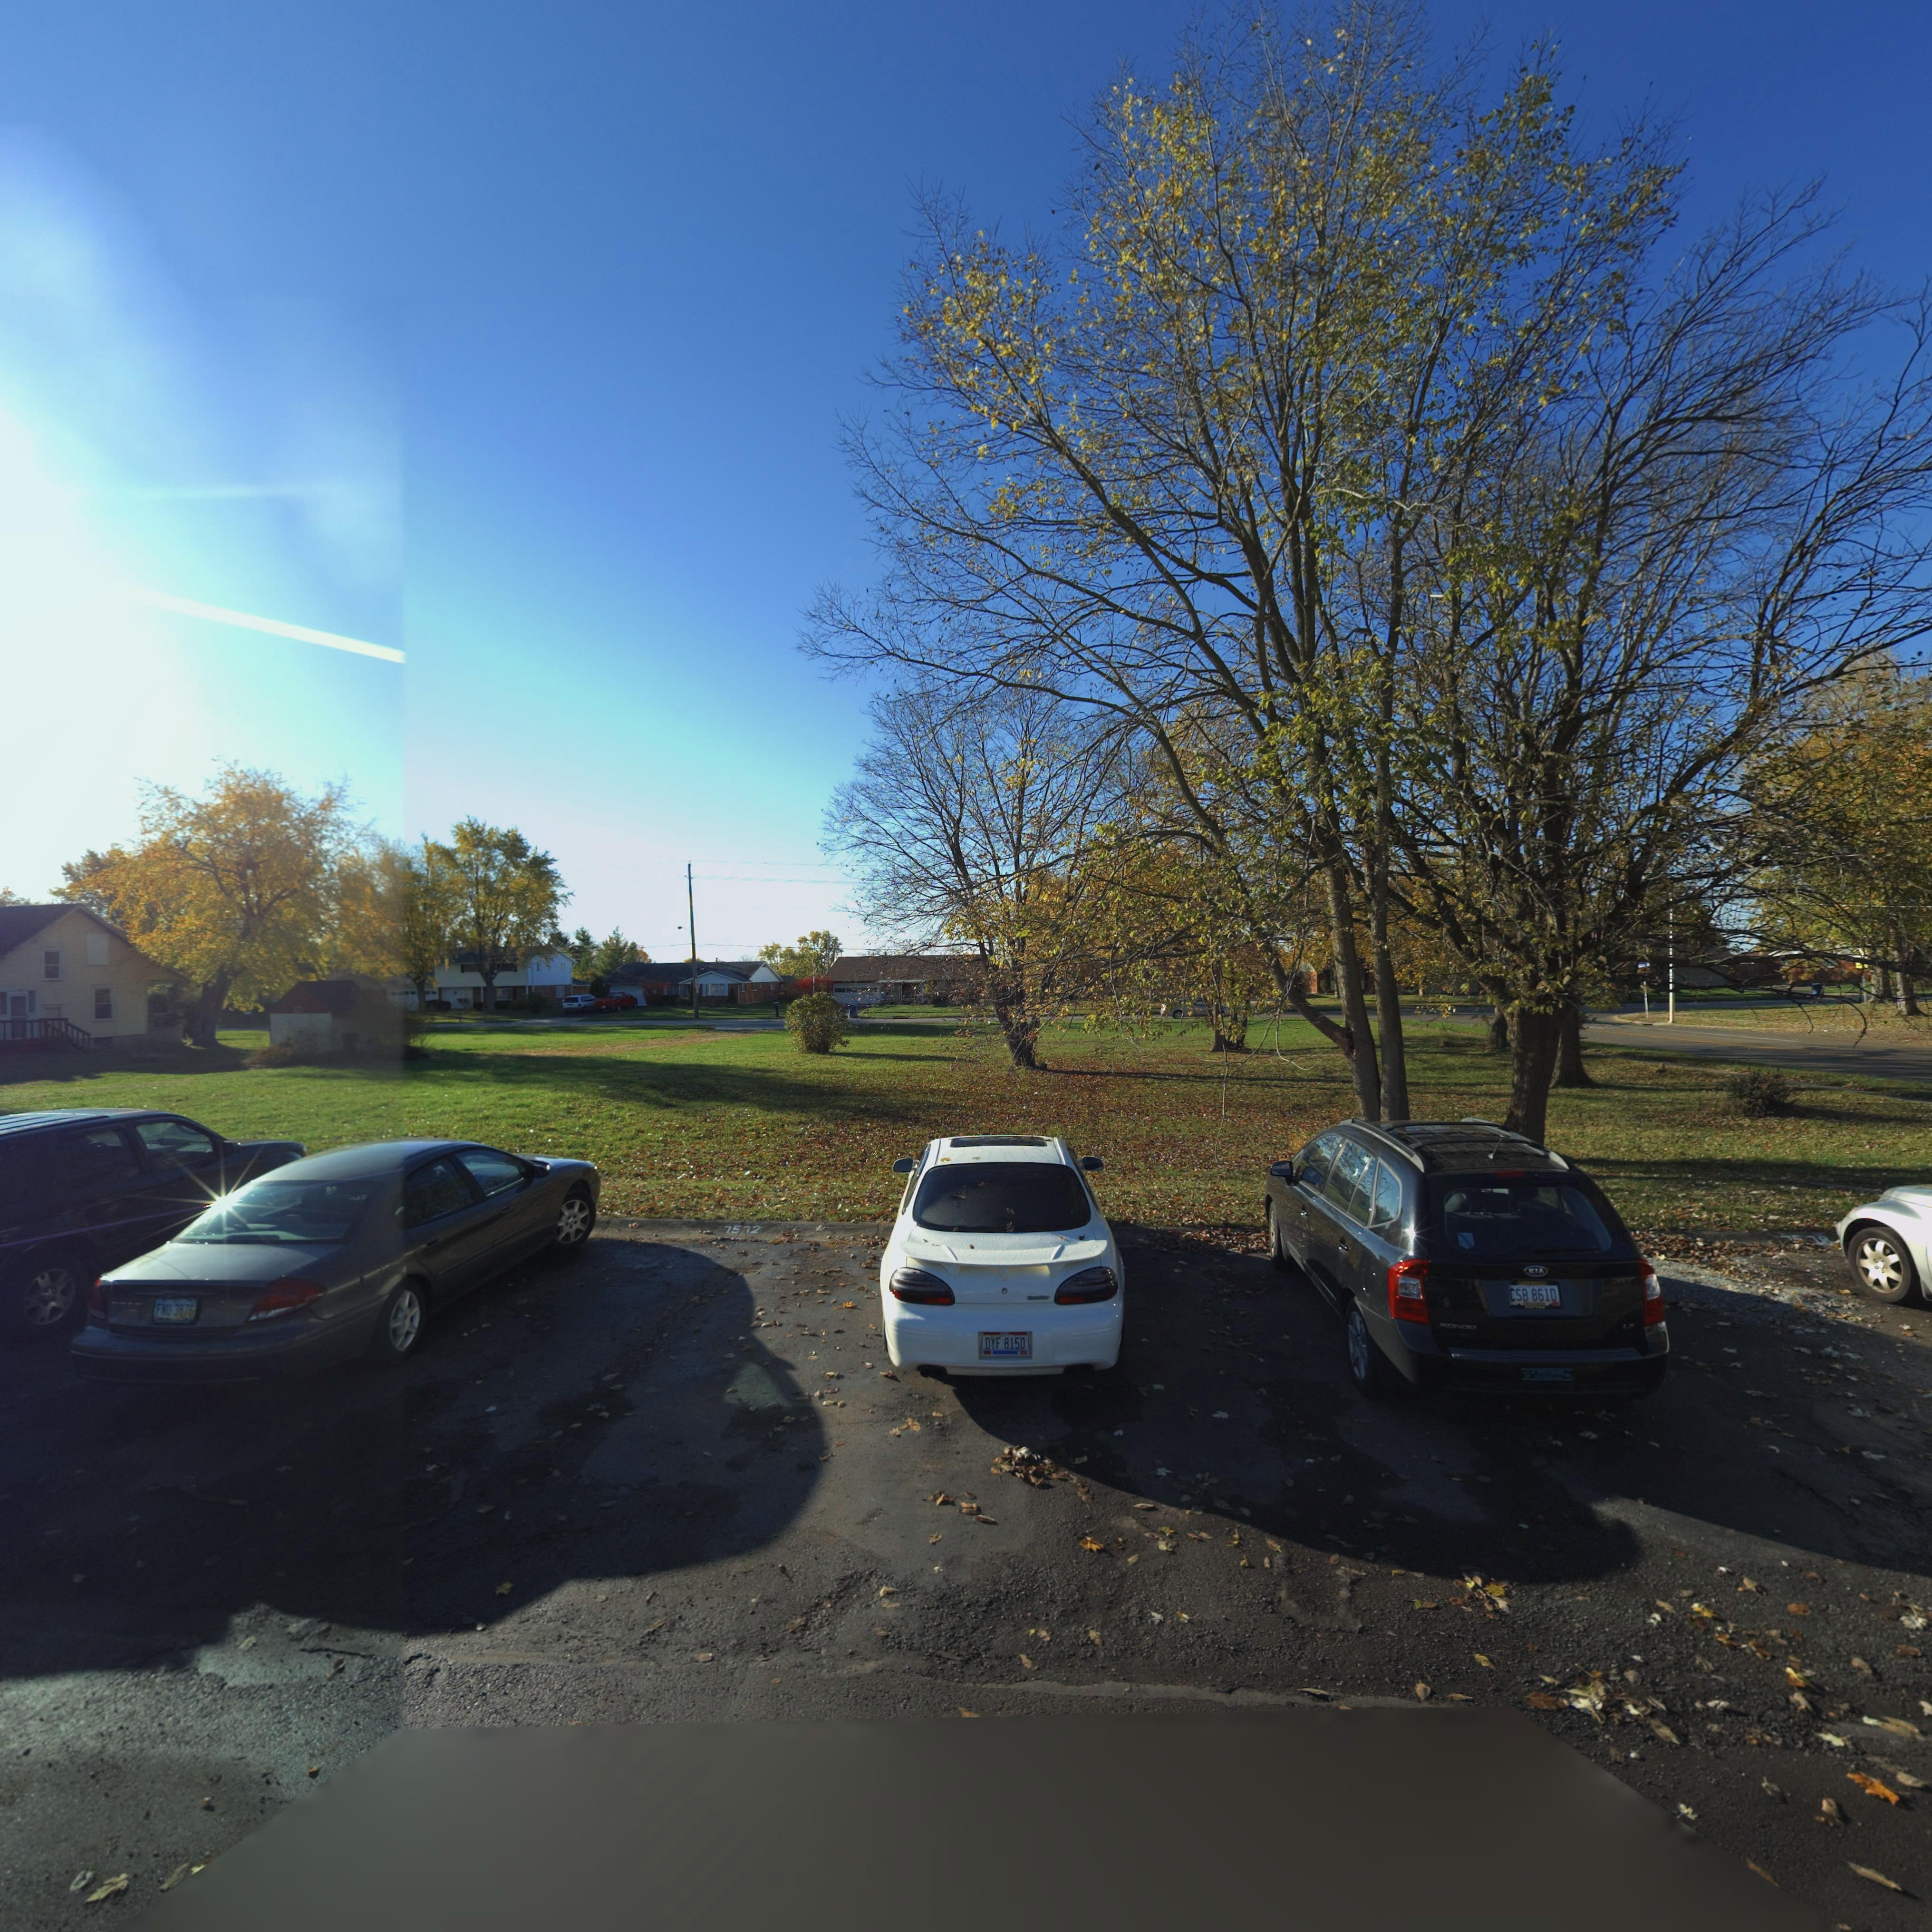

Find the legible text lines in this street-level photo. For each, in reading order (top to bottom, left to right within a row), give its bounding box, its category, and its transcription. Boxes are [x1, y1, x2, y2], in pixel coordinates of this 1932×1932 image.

[723, 1224, 762, 1235] StreetNumber: 7572
[1509, 1287, 1557, 1304] None: CSB 8610
[154, 1301, 196, 1321] None: FNU 3876
[983, 1336, 1026, 1352] None: DYF 8150